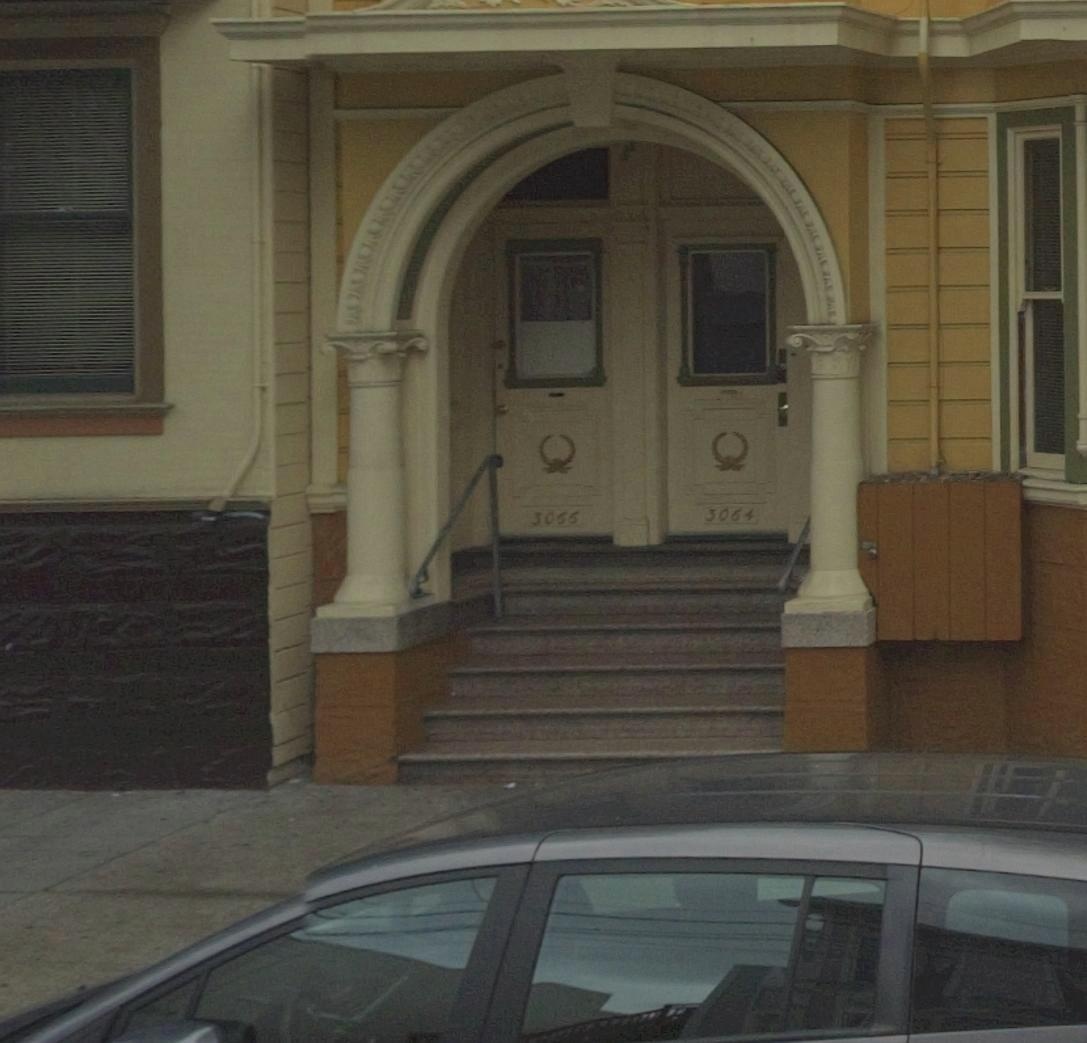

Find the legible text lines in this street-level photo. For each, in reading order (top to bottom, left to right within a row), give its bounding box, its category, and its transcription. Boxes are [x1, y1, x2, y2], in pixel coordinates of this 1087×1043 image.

[528, 509, 582, 527] StreetNumber: 3066
[703, 507, 758, 523] StreetNumber: 3064